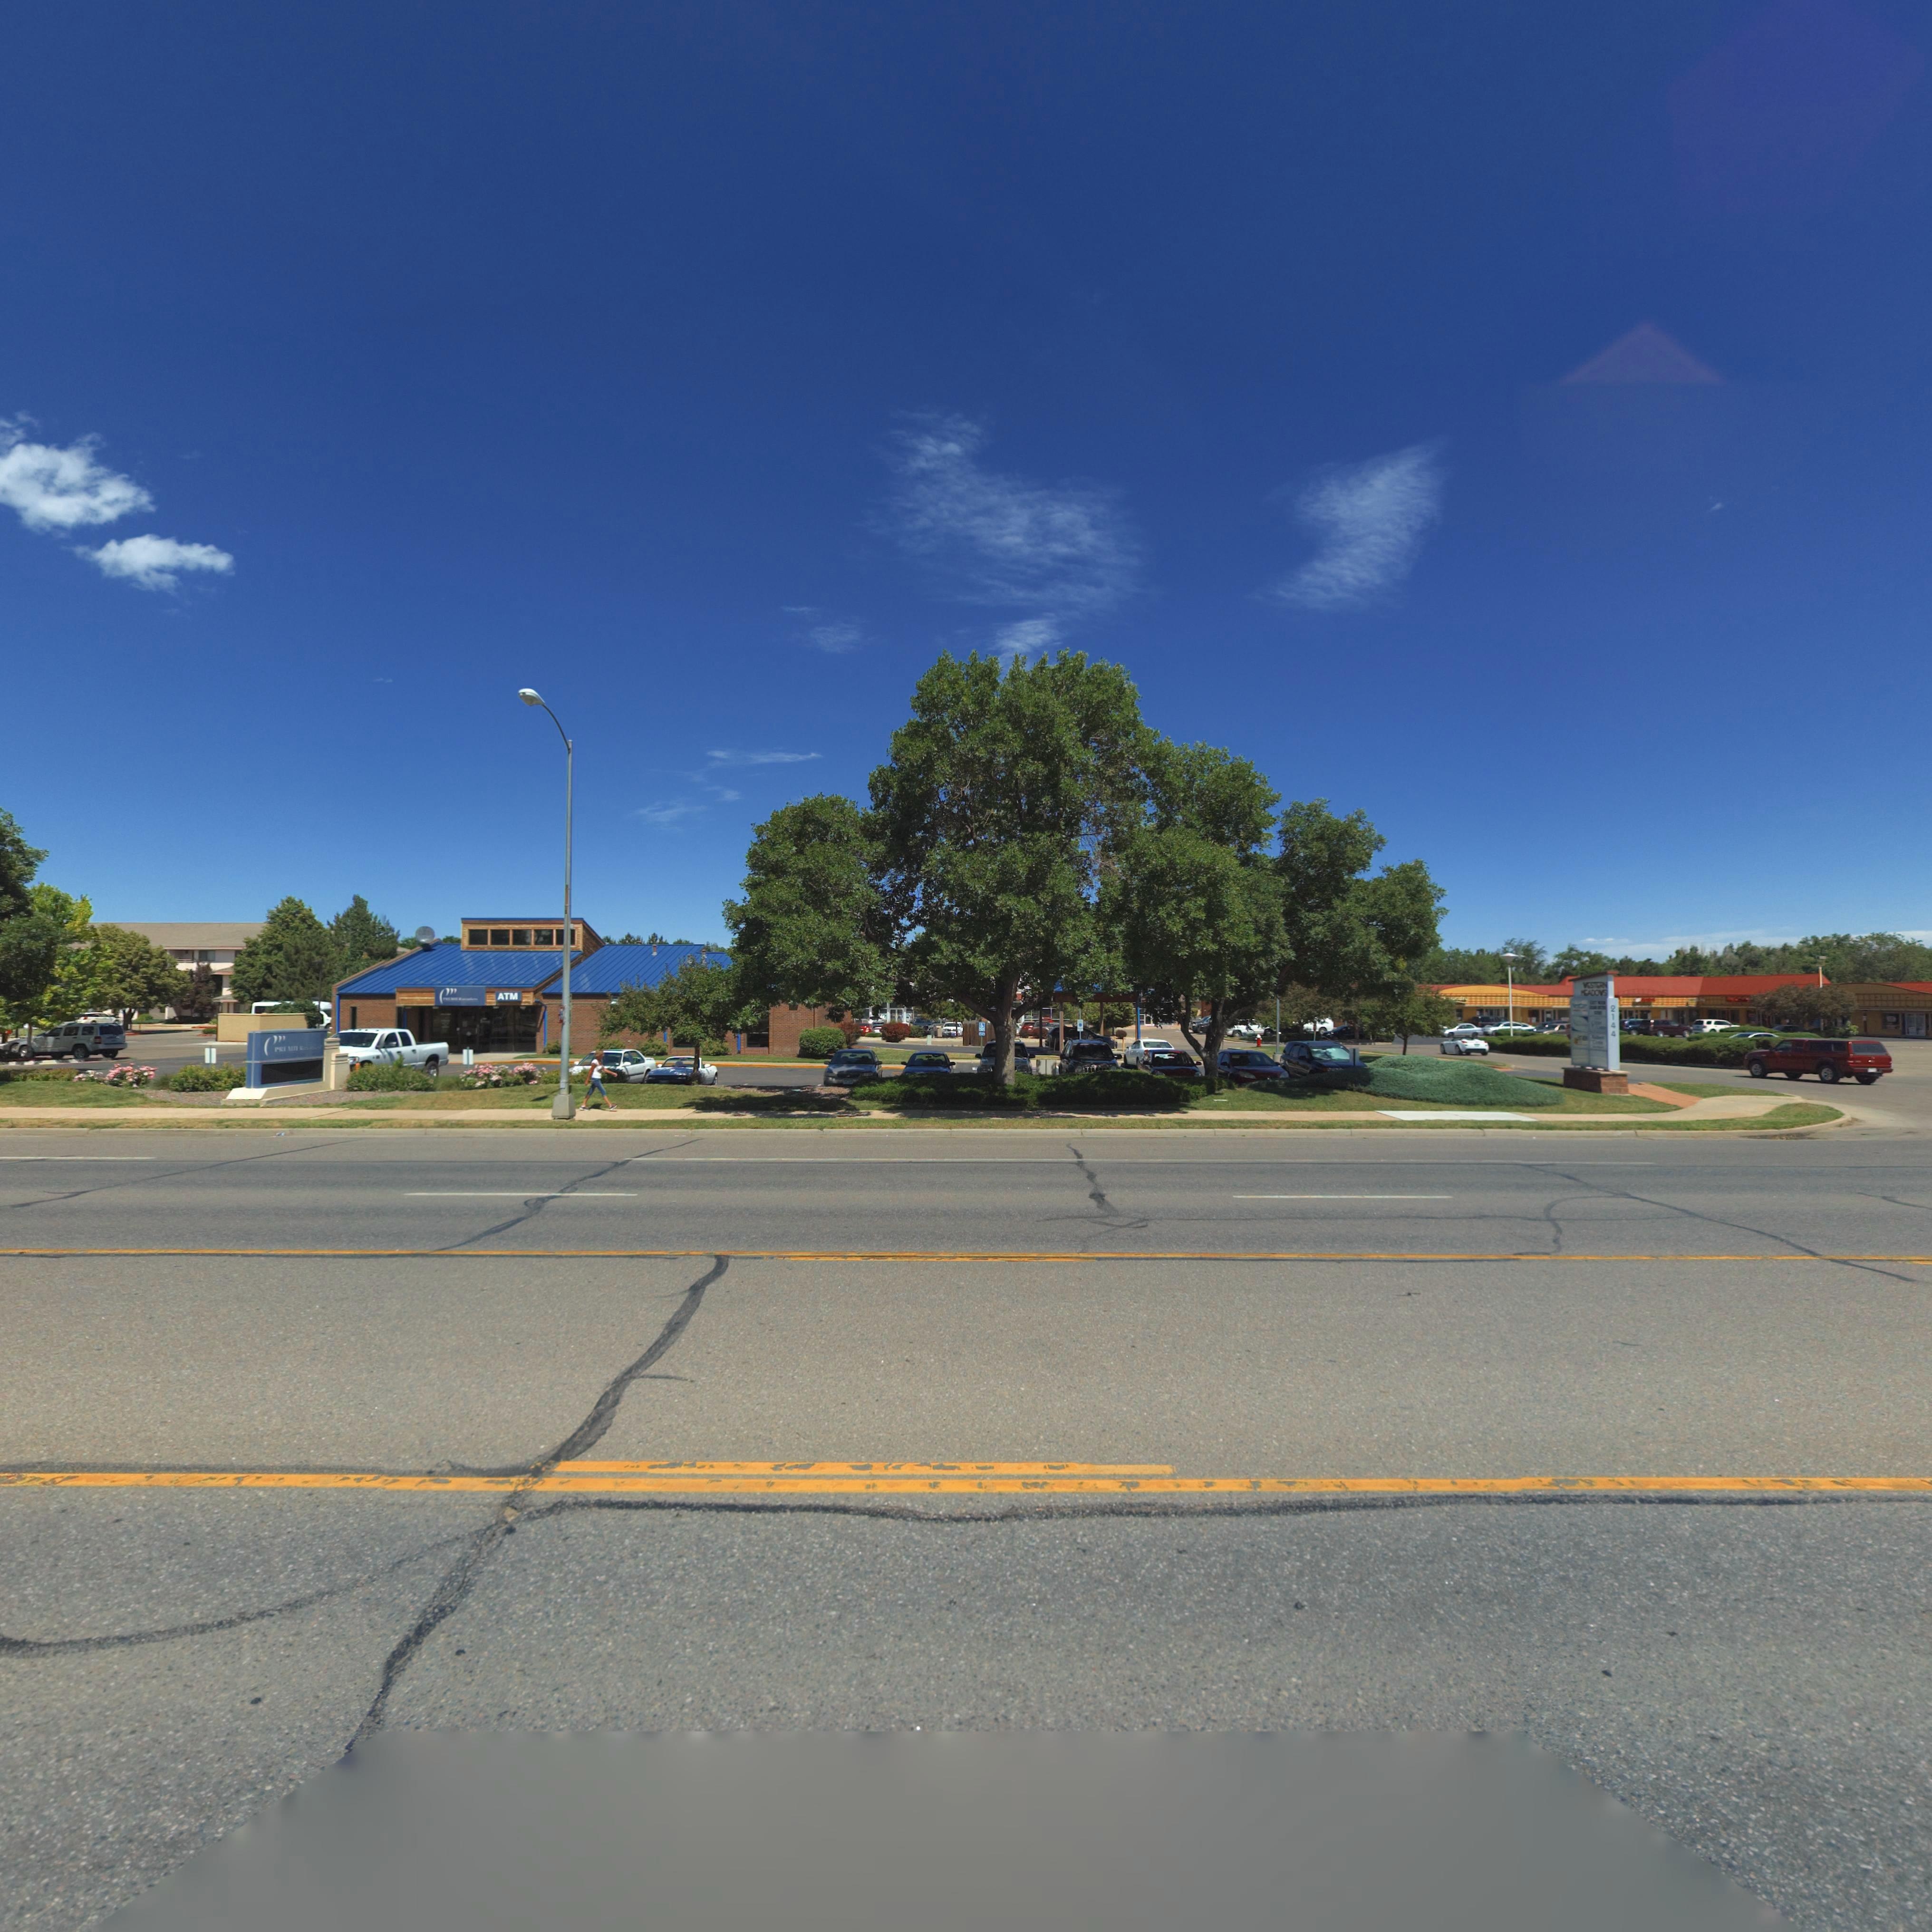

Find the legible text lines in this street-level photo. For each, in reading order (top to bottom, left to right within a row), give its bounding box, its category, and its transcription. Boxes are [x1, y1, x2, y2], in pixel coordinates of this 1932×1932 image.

[1610, 1005, 1616, 1038] StreetNumber: 2144